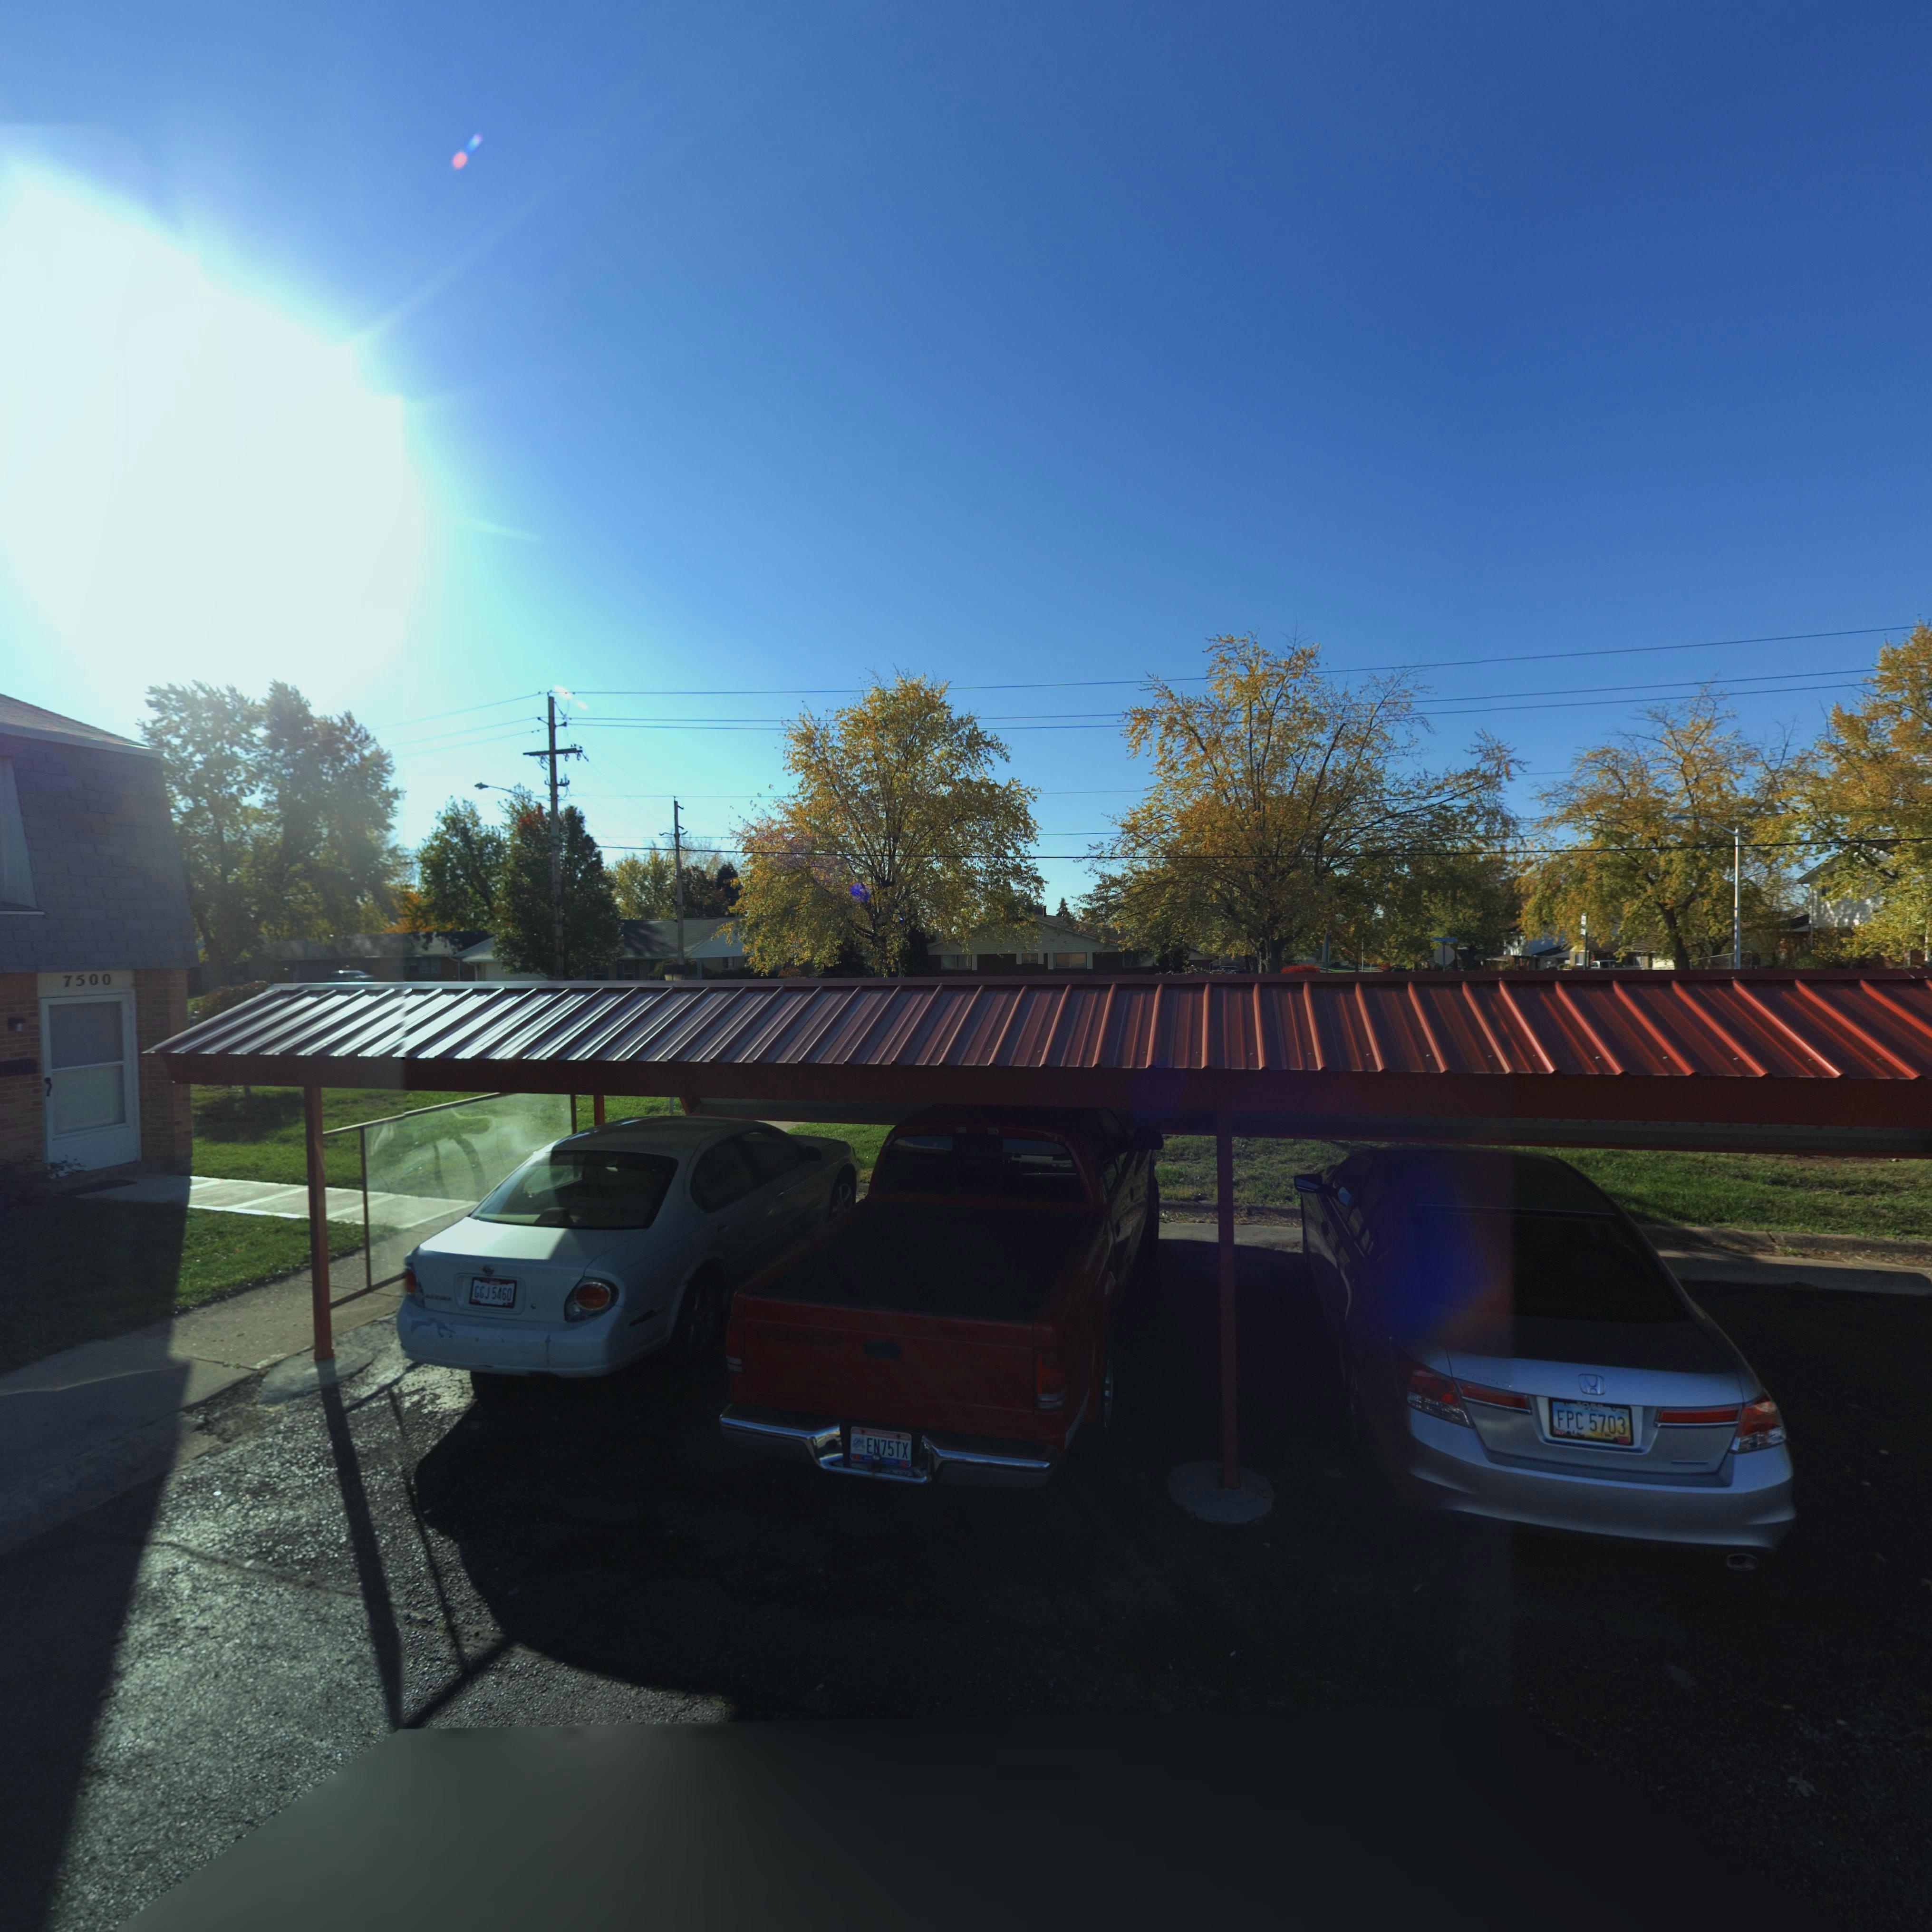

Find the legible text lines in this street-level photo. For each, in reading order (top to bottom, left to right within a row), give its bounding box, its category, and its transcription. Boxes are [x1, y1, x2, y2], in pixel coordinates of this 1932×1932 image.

[63, 973, 113, 988] StreetNumber: 7500